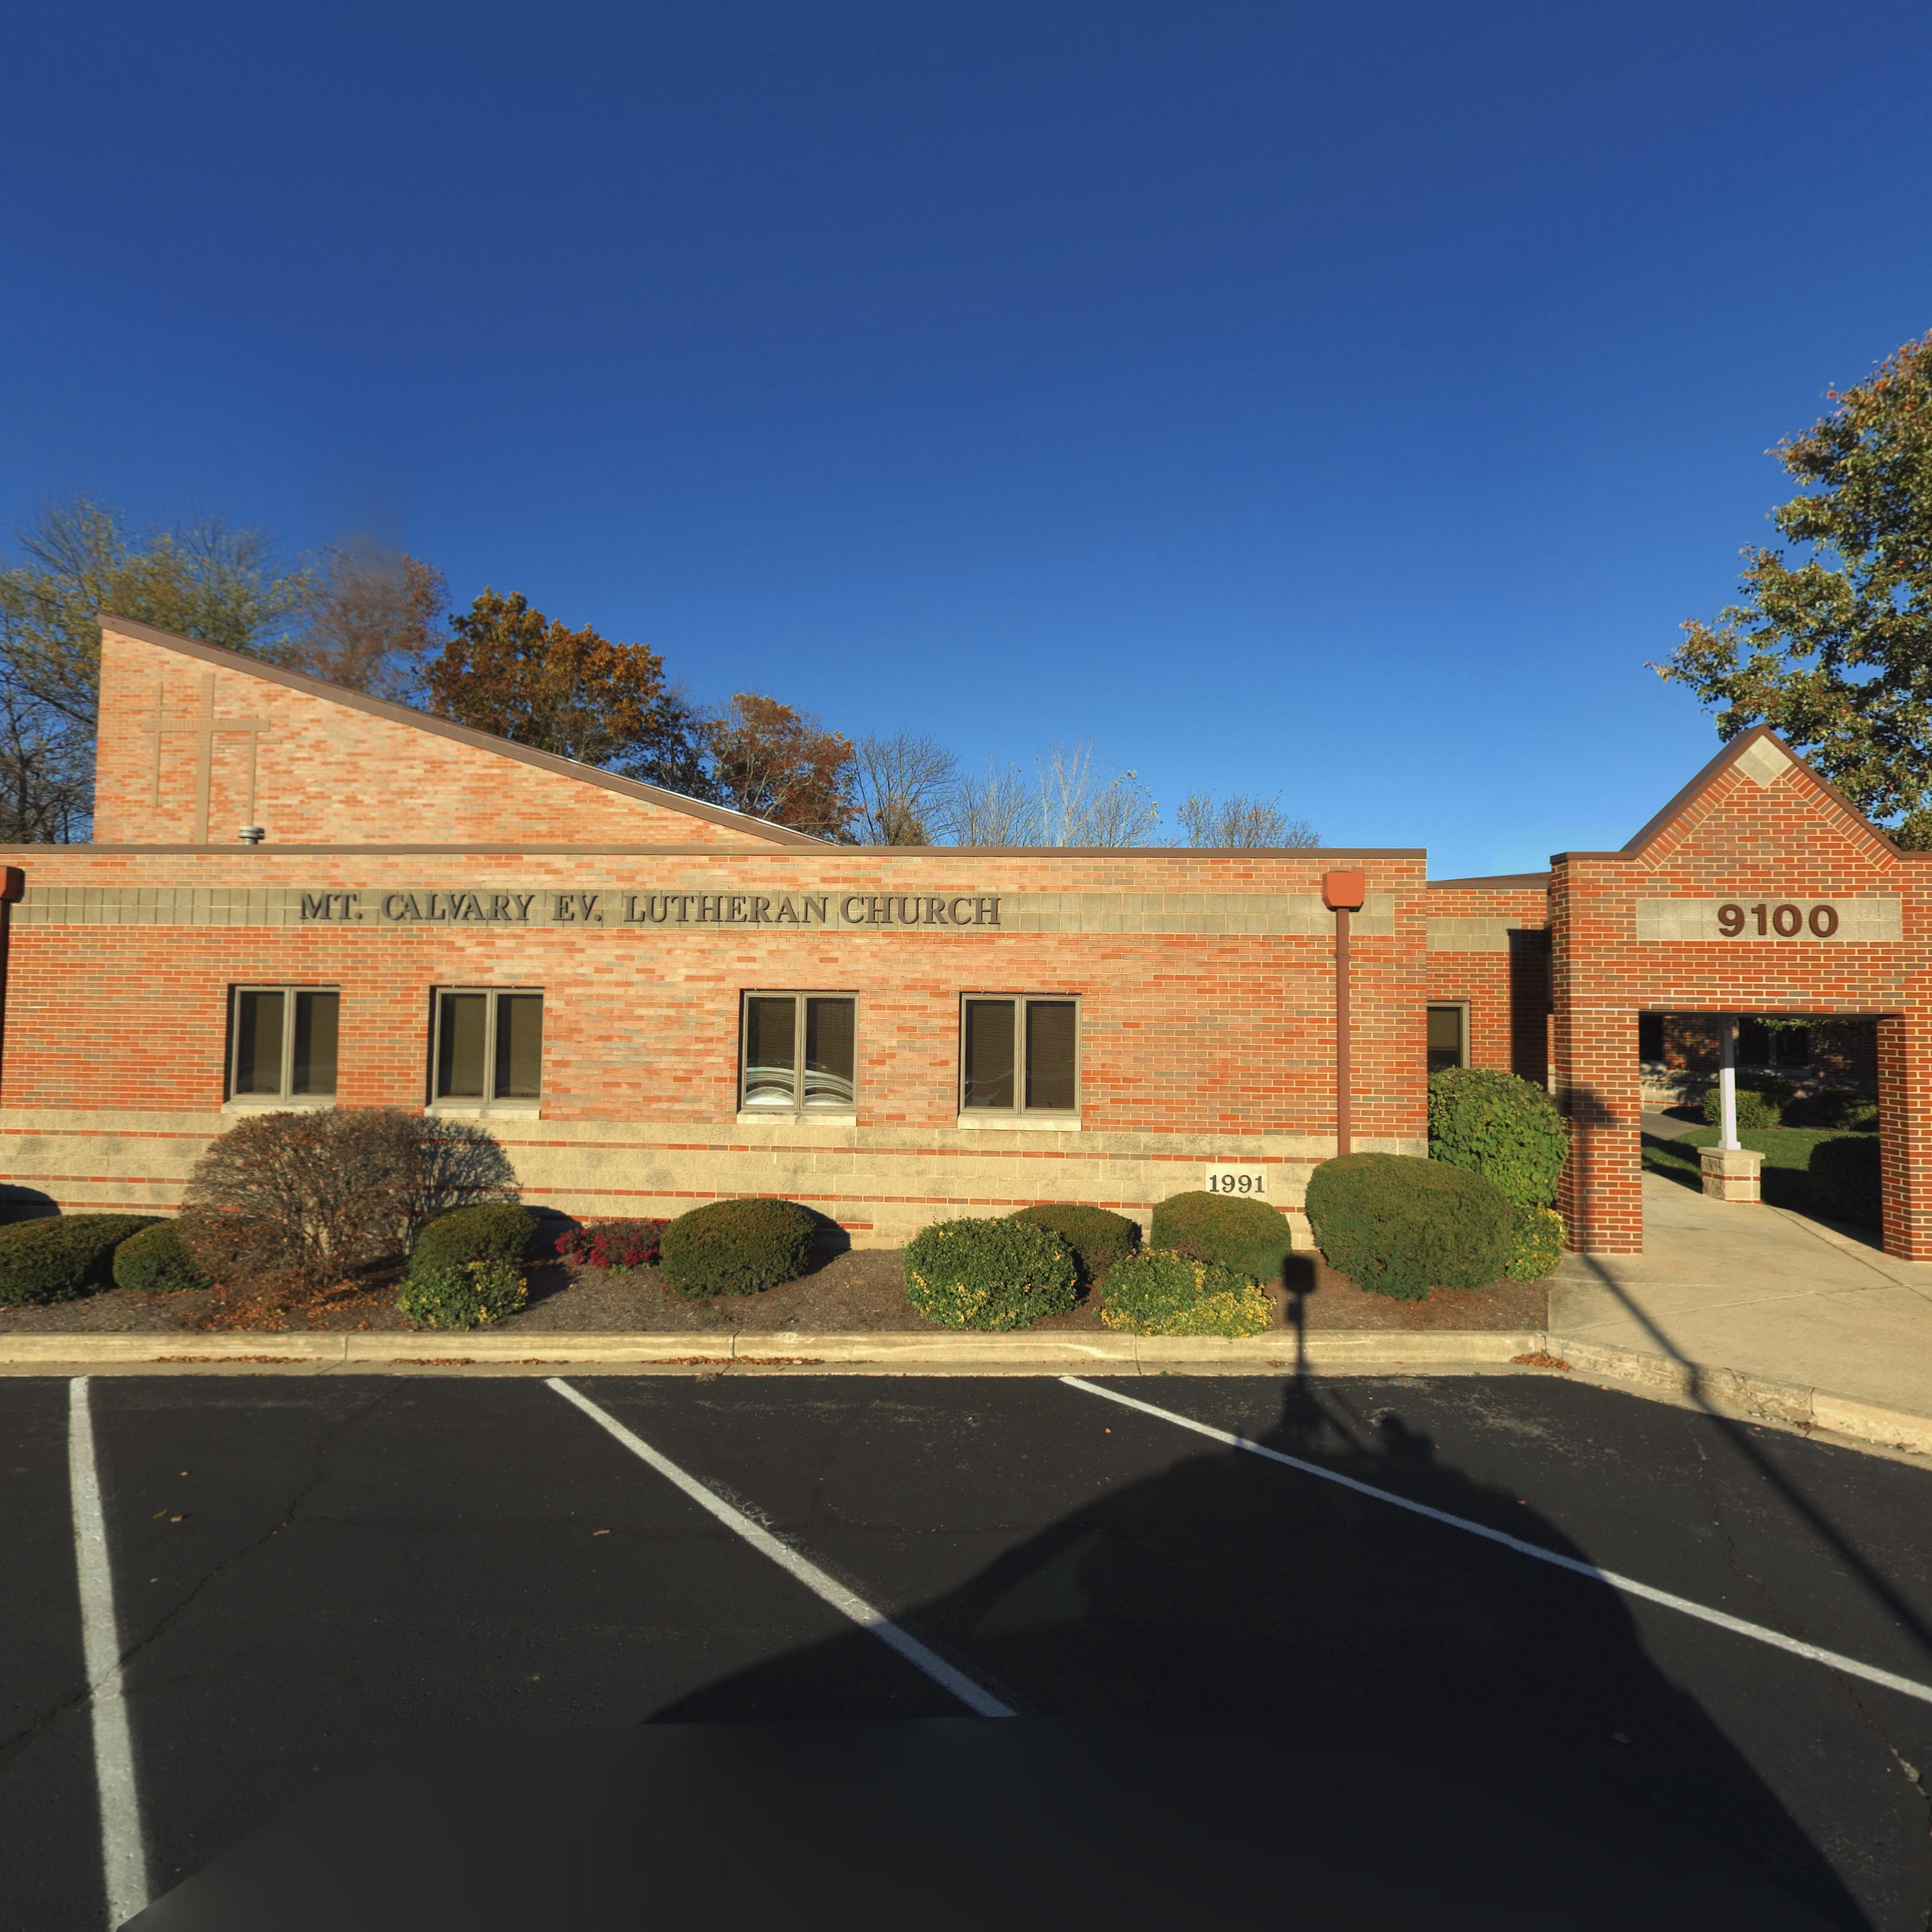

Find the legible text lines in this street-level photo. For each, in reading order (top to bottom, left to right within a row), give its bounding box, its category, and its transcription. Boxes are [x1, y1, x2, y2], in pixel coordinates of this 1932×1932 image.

[1717, 902, 1840, 938] StreetNumber: 9100